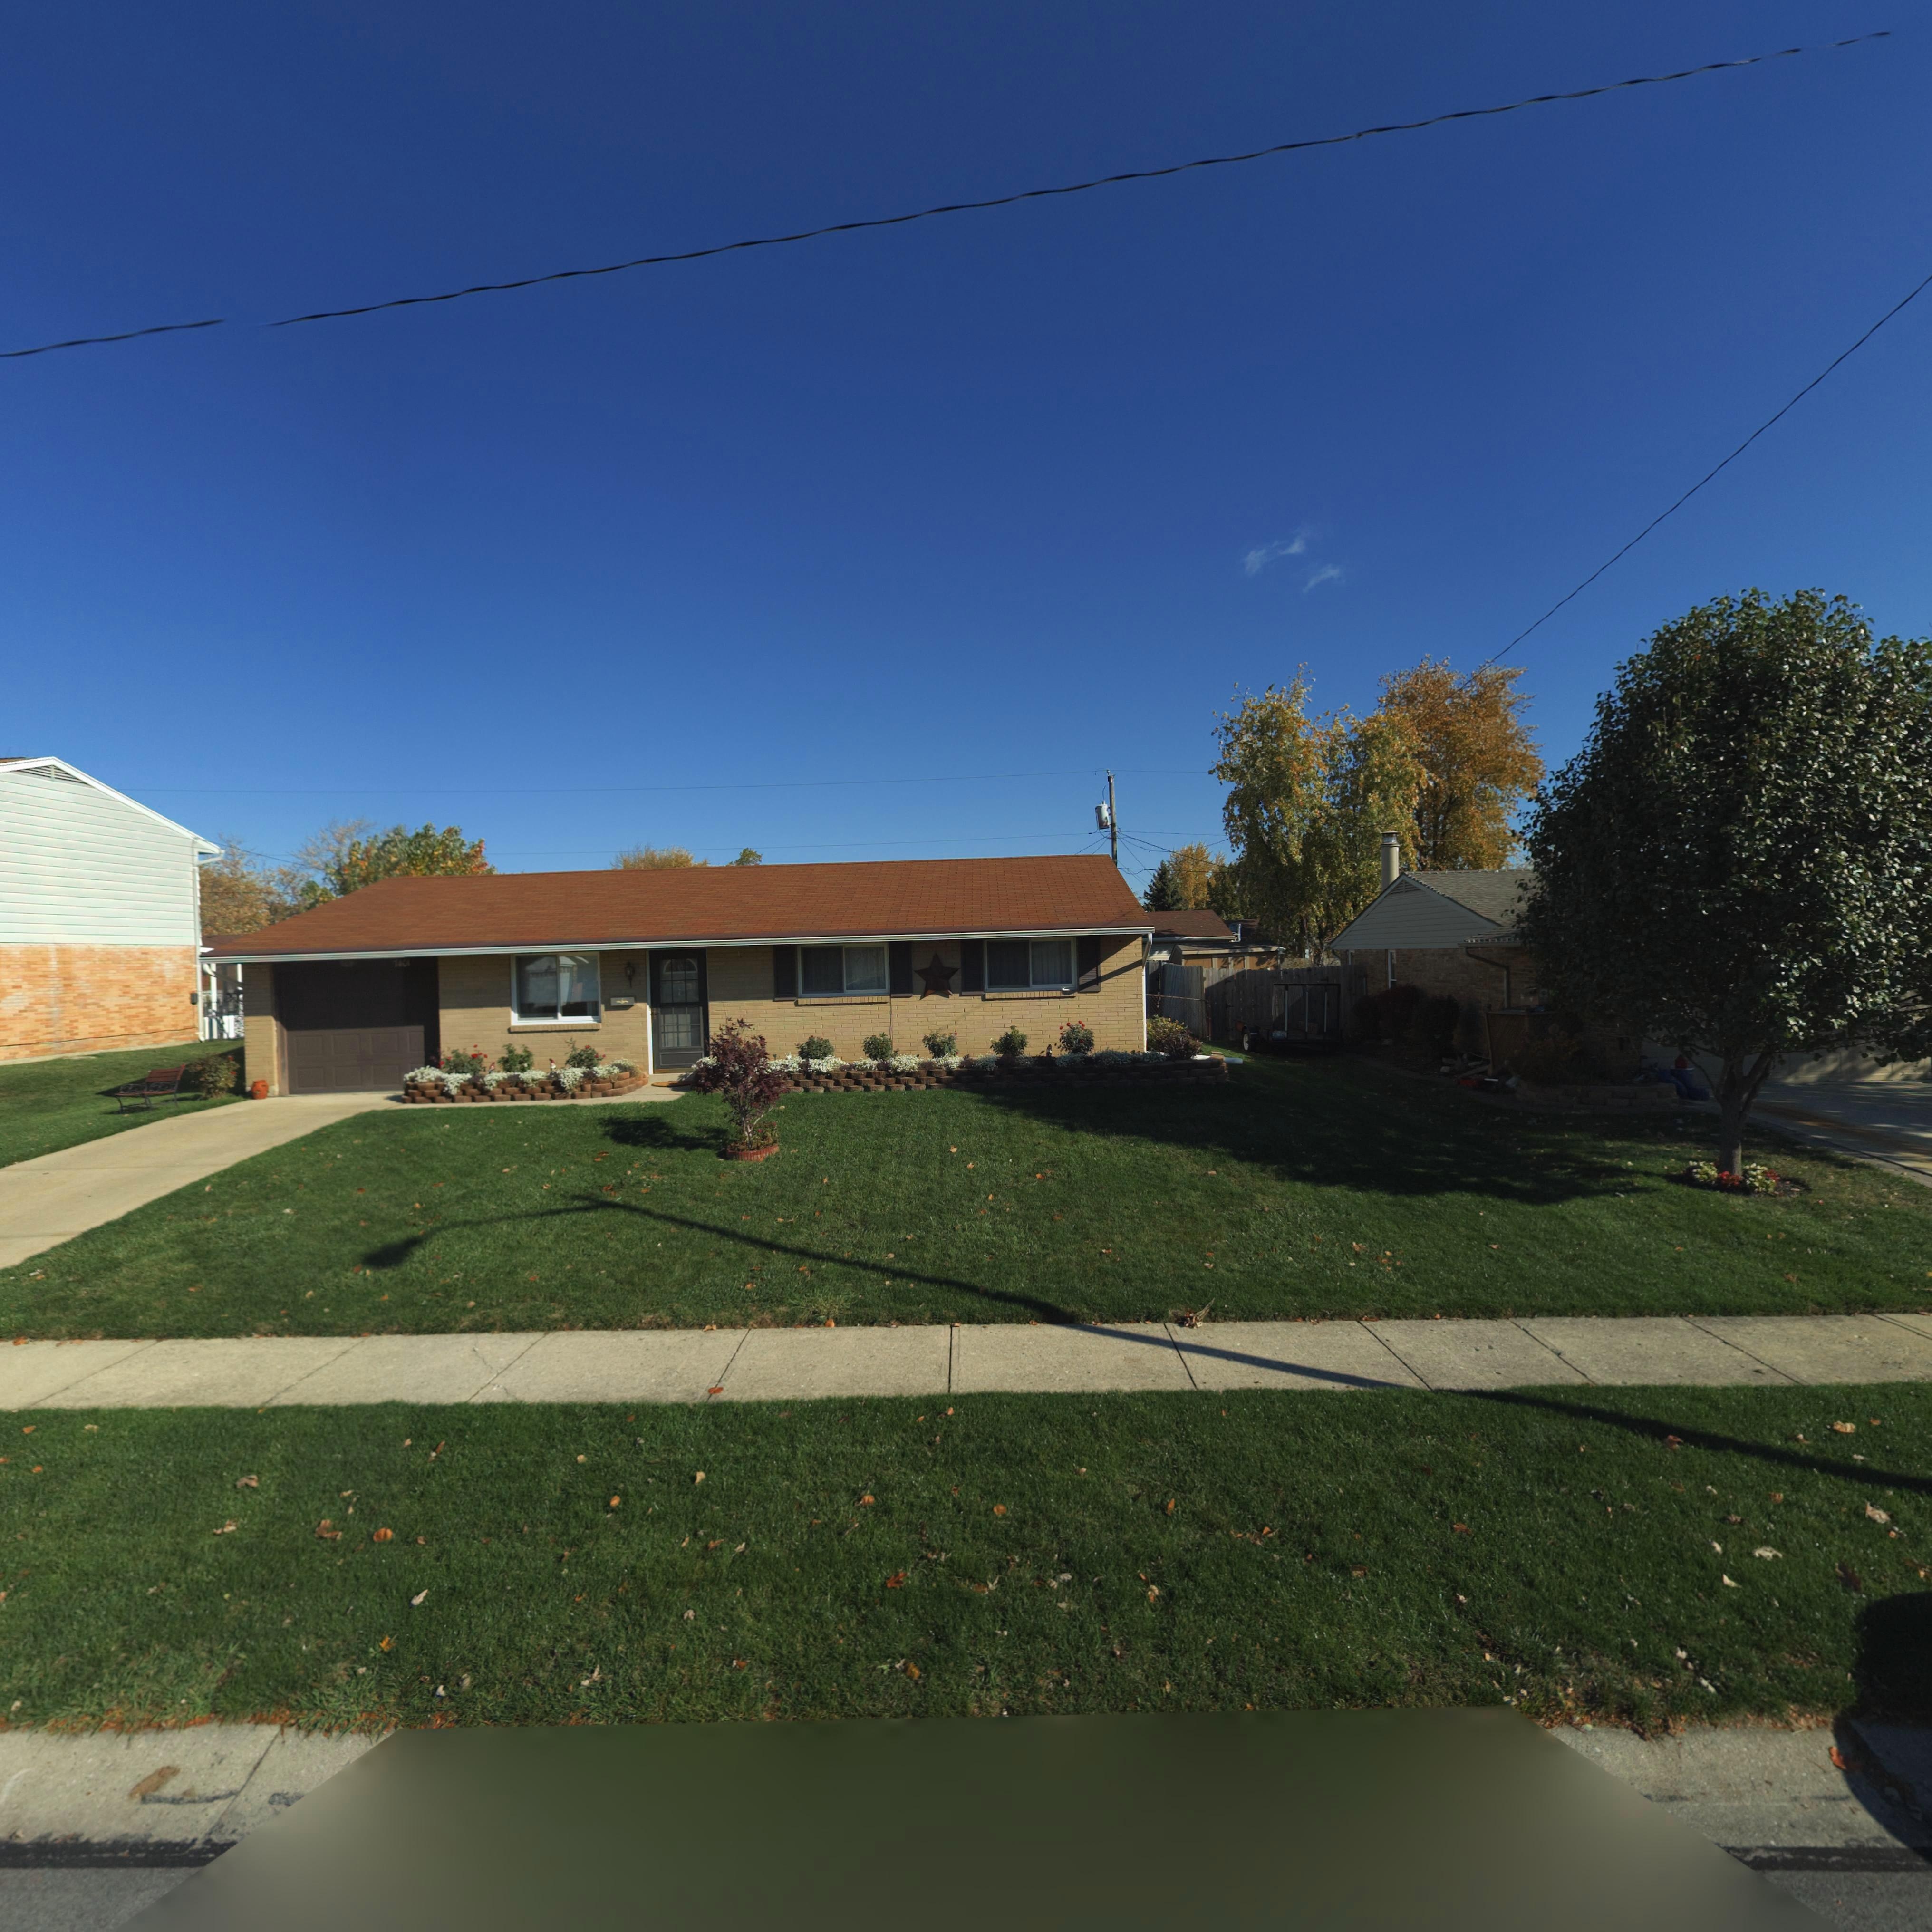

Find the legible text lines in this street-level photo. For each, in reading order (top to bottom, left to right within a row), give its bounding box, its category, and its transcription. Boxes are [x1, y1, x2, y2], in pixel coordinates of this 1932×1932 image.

[391, 957, 412, 969] StreetNumber: 7401